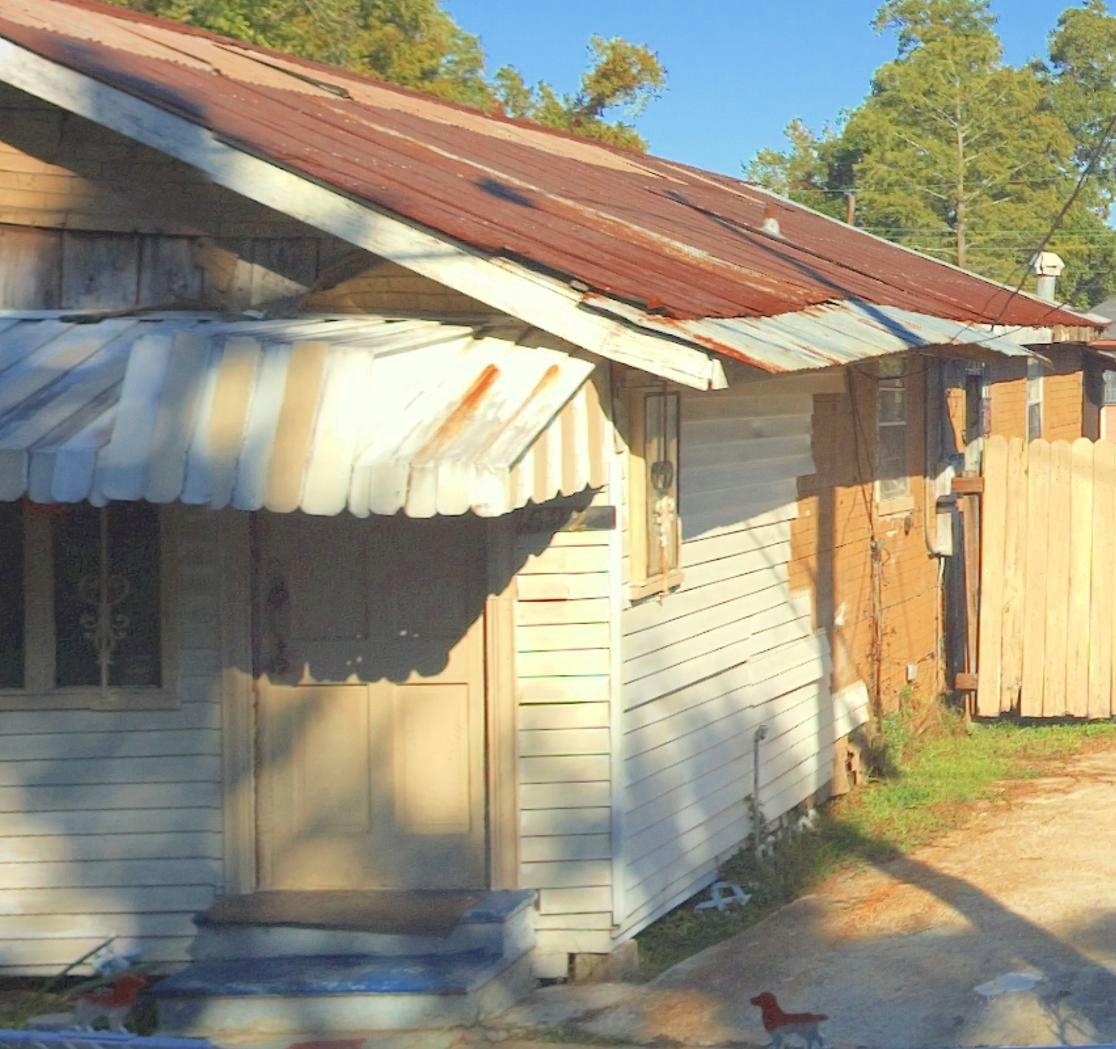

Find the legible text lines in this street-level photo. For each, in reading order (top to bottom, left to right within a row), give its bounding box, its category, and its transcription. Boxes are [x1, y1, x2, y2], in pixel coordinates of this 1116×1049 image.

[516, 507, 587, 533] StreetNumber: 1592